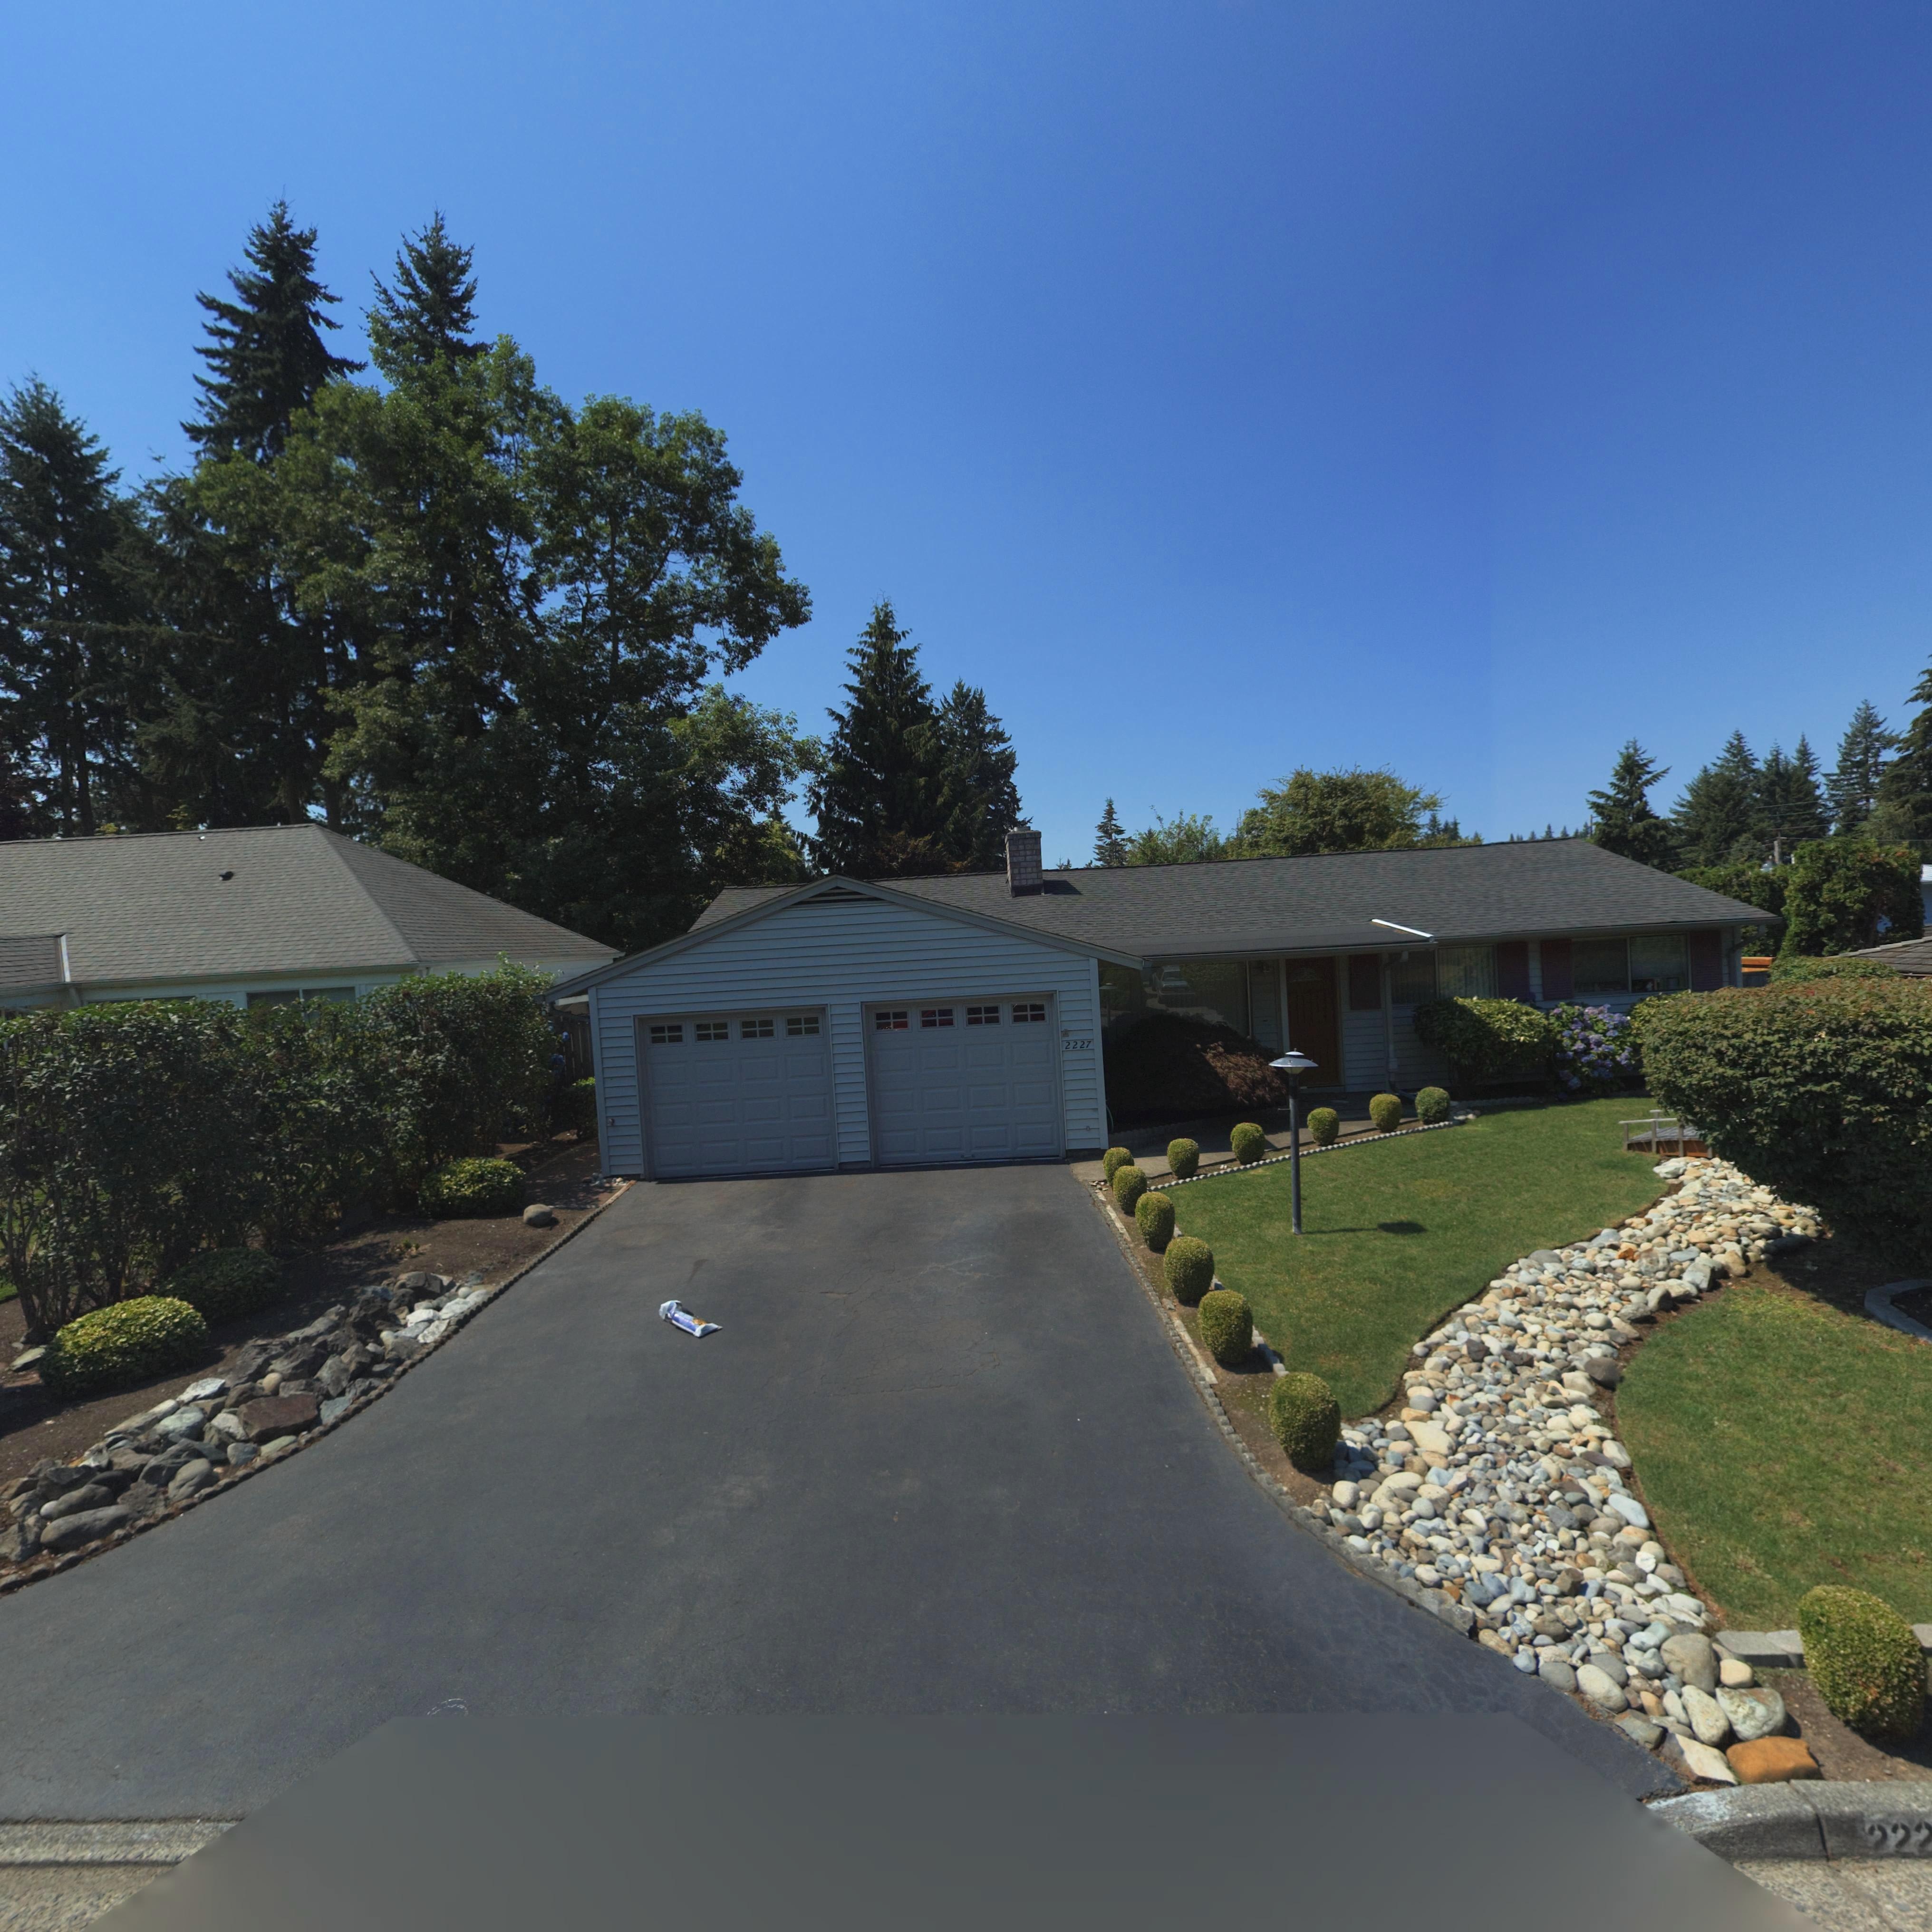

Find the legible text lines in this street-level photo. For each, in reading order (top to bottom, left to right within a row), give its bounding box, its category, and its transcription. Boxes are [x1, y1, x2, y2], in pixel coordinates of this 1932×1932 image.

[1065, 1041, 1092, 1049] StreetNumber: 2227